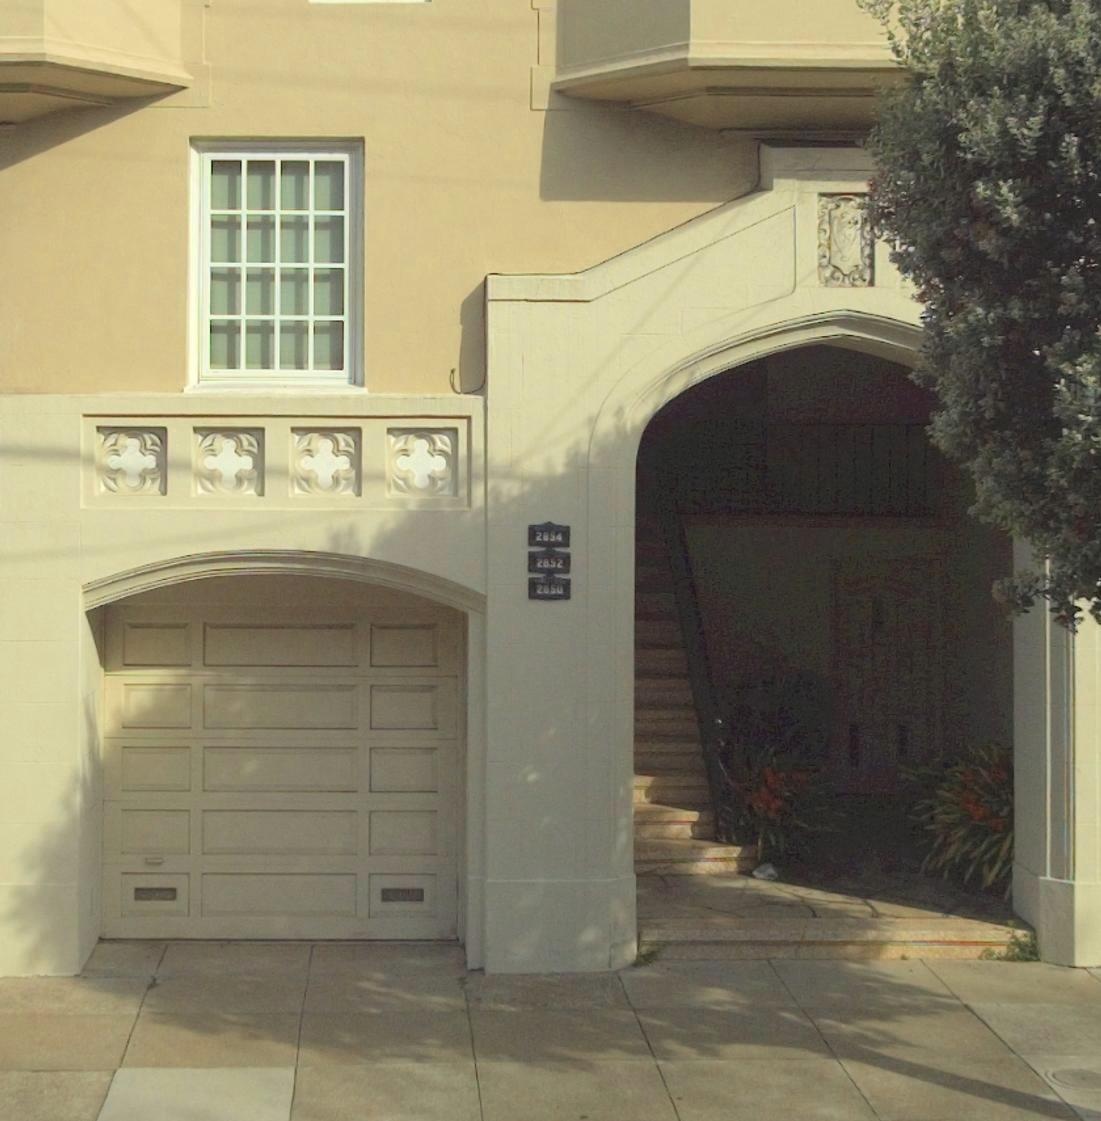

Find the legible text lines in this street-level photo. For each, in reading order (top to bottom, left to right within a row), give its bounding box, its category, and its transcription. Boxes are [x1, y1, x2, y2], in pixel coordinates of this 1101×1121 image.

[533, 529, 565, 544] StreetNumber: 2854
[533, 556, 566, 570] StreetNumber: 2852
[534, 582, 565, 596] StreetNumber: 2850